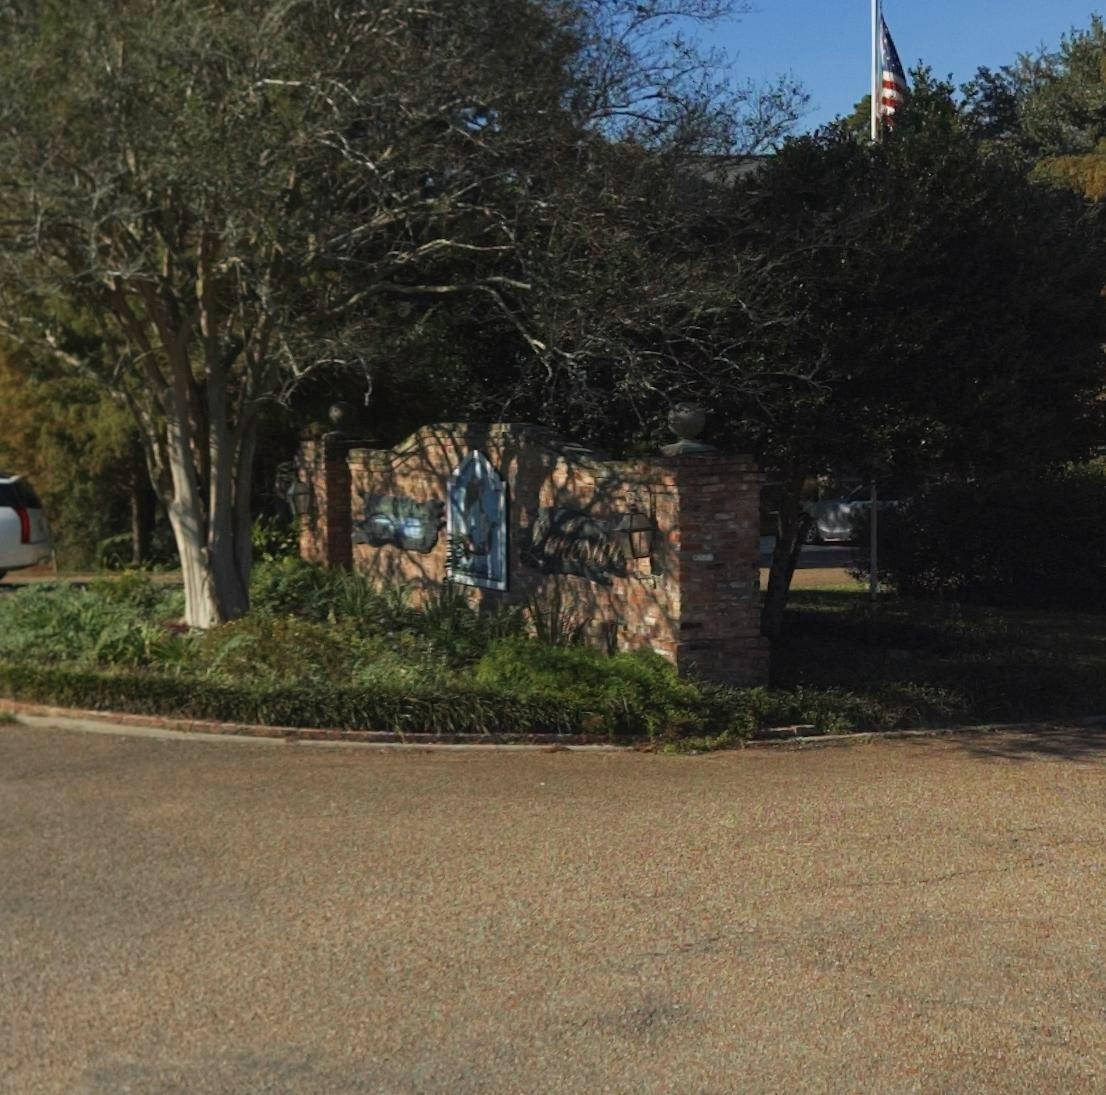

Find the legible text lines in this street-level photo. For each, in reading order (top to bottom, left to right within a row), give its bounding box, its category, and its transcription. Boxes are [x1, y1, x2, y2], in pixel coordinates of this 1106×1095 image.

[516, 515, 626, 569] BusinessName: Lakeside